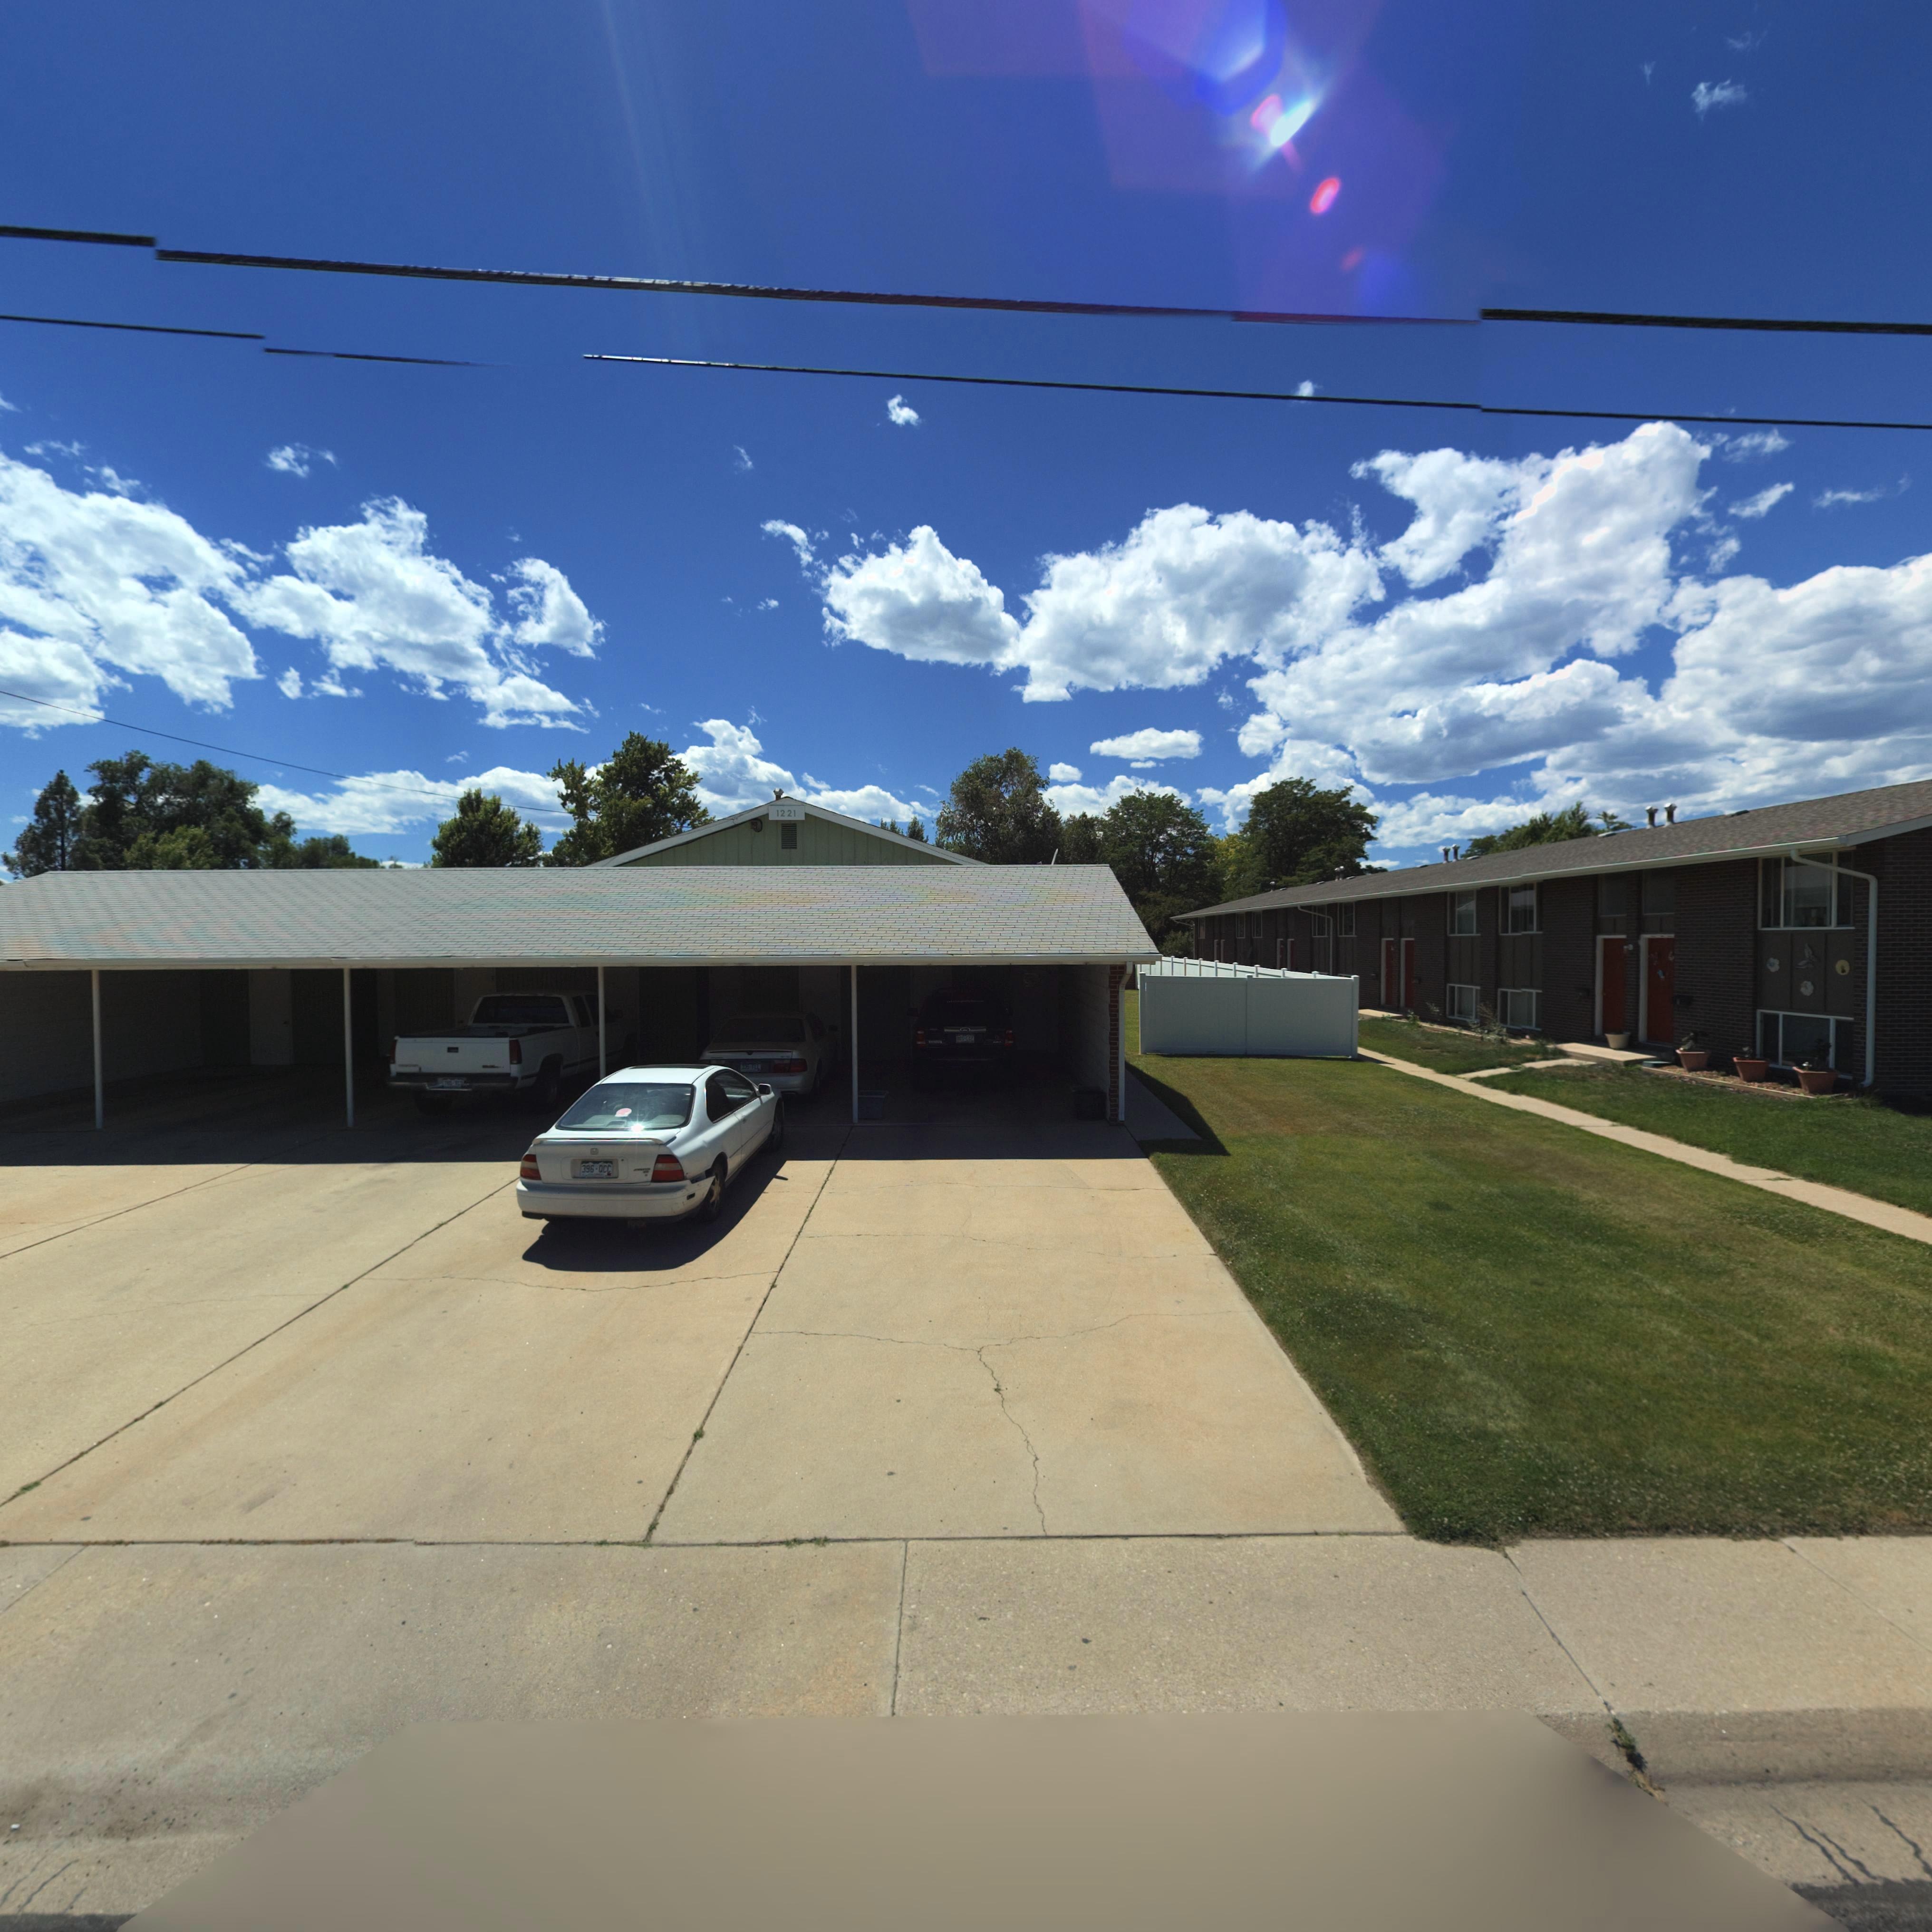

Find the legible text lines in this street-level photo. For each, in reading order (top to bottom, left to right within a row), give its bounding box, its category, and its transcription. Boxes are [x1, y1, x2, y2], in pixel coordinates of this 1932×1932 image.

[776, 810, 795, 817] StreetNumber: 1221